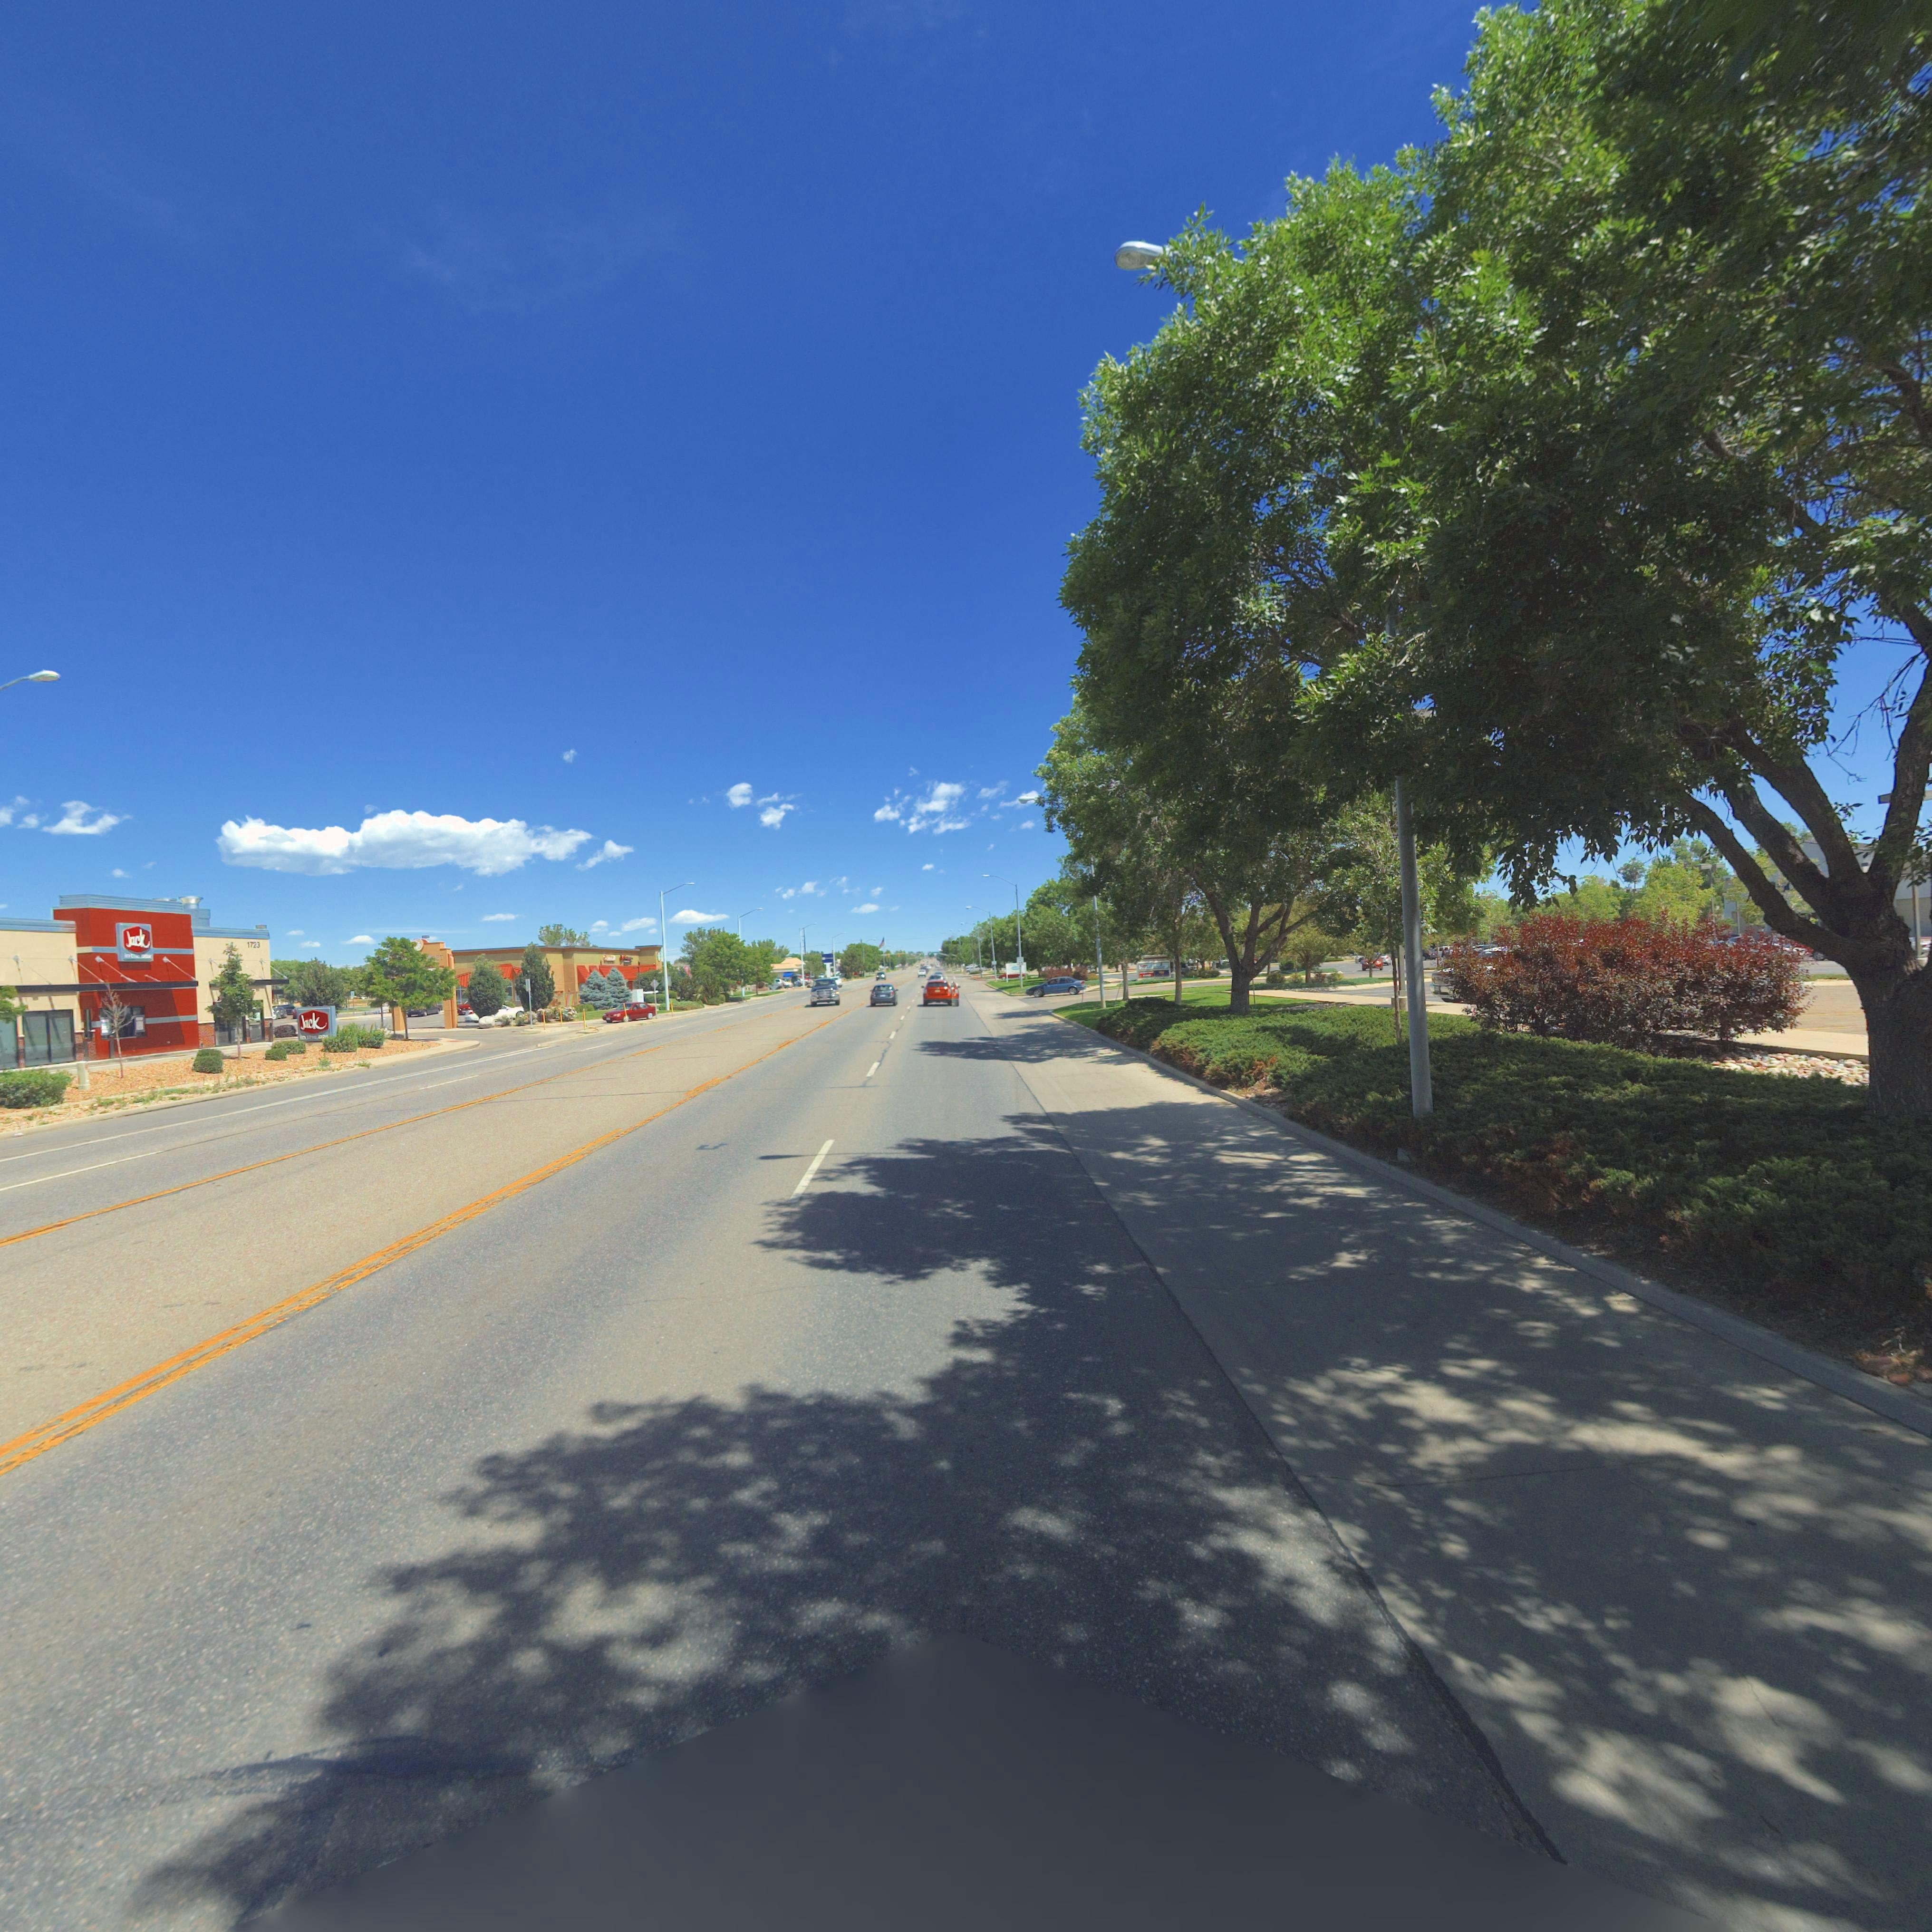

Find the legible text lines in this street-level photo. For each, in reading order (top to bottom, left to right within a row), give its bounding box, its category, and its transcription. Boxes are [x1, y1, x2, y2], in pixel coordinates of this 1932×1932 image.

[126, 928, 151, 948] BusinessName: Jack
[246, 941, 260, 948] StreetNumber: 1723
[124, 952, 151, 958] BusinessName: in *** *o*
[299, 1012, 327, 1030] BusinessName: Jack
[299, 1034, 329, 1040] BusinessName: *n *h* b**